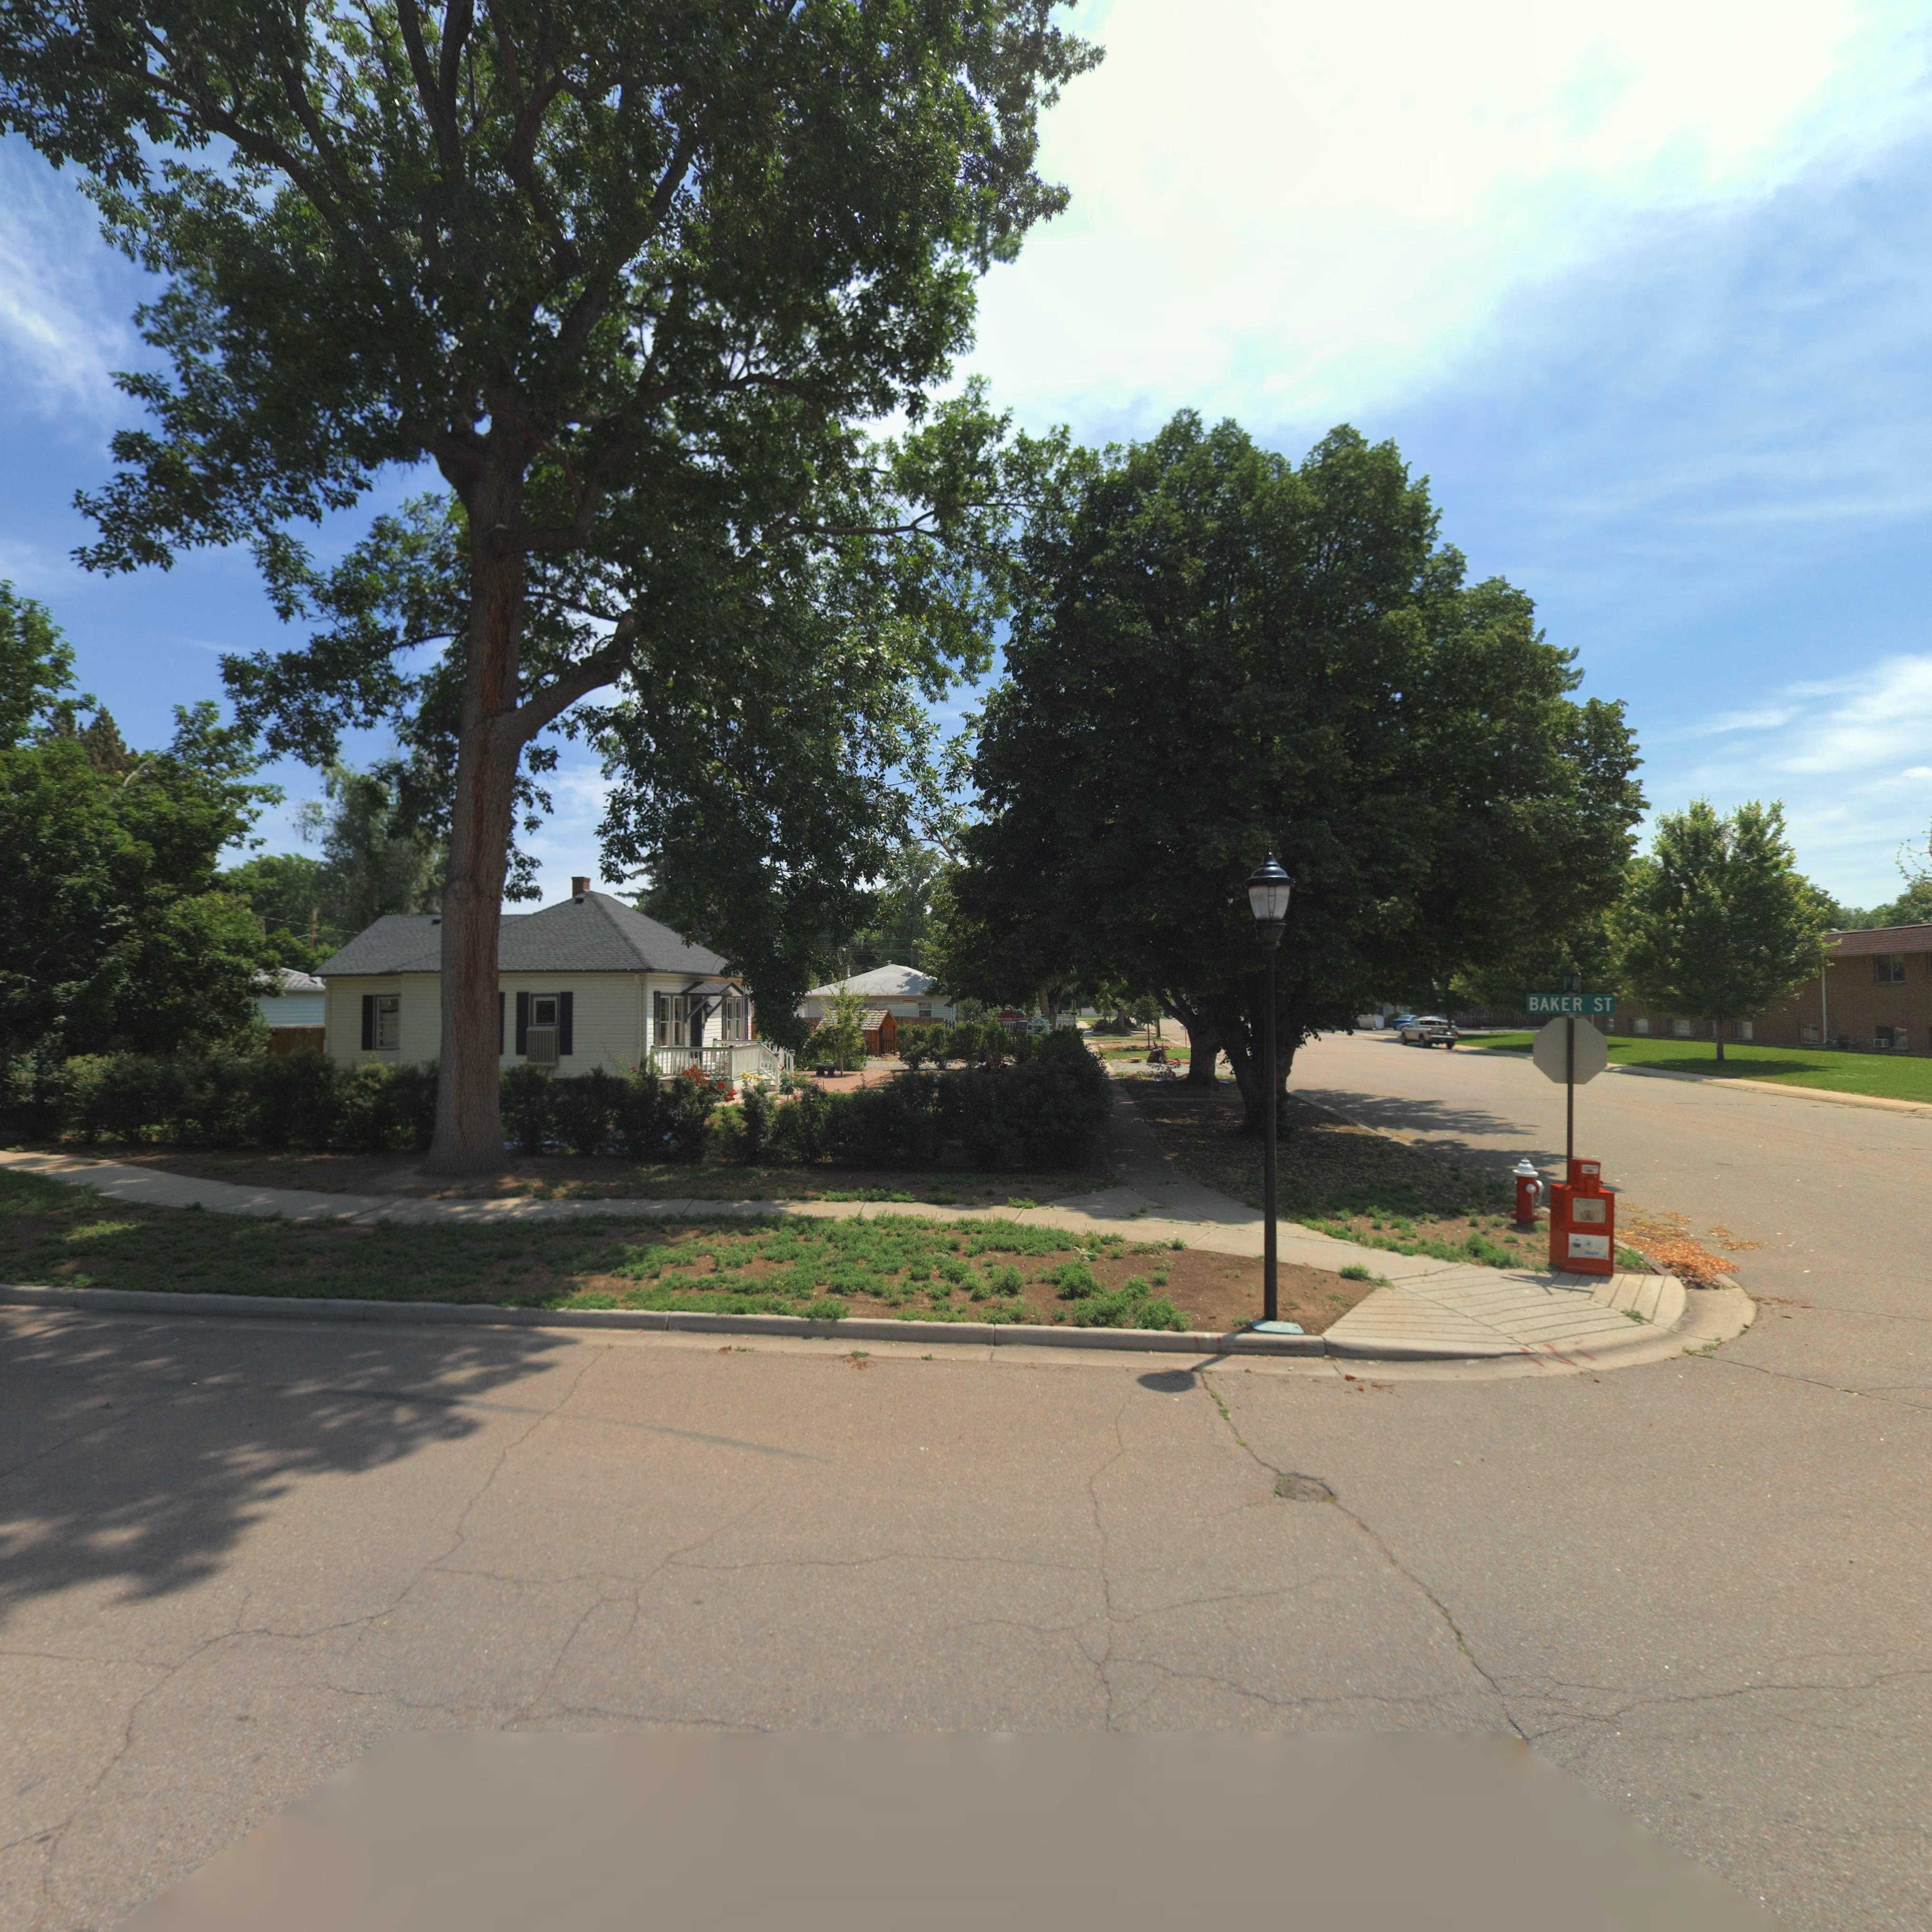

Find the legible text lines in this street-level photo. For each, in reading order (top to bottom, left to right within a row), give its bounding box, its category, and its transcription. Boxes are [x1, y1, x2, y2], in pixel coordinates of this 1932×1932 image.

[1562, 976, 1581, 992] StreetName: 8** AV
[1528, 996, 1613, 1012] StreetName: BAKER ST